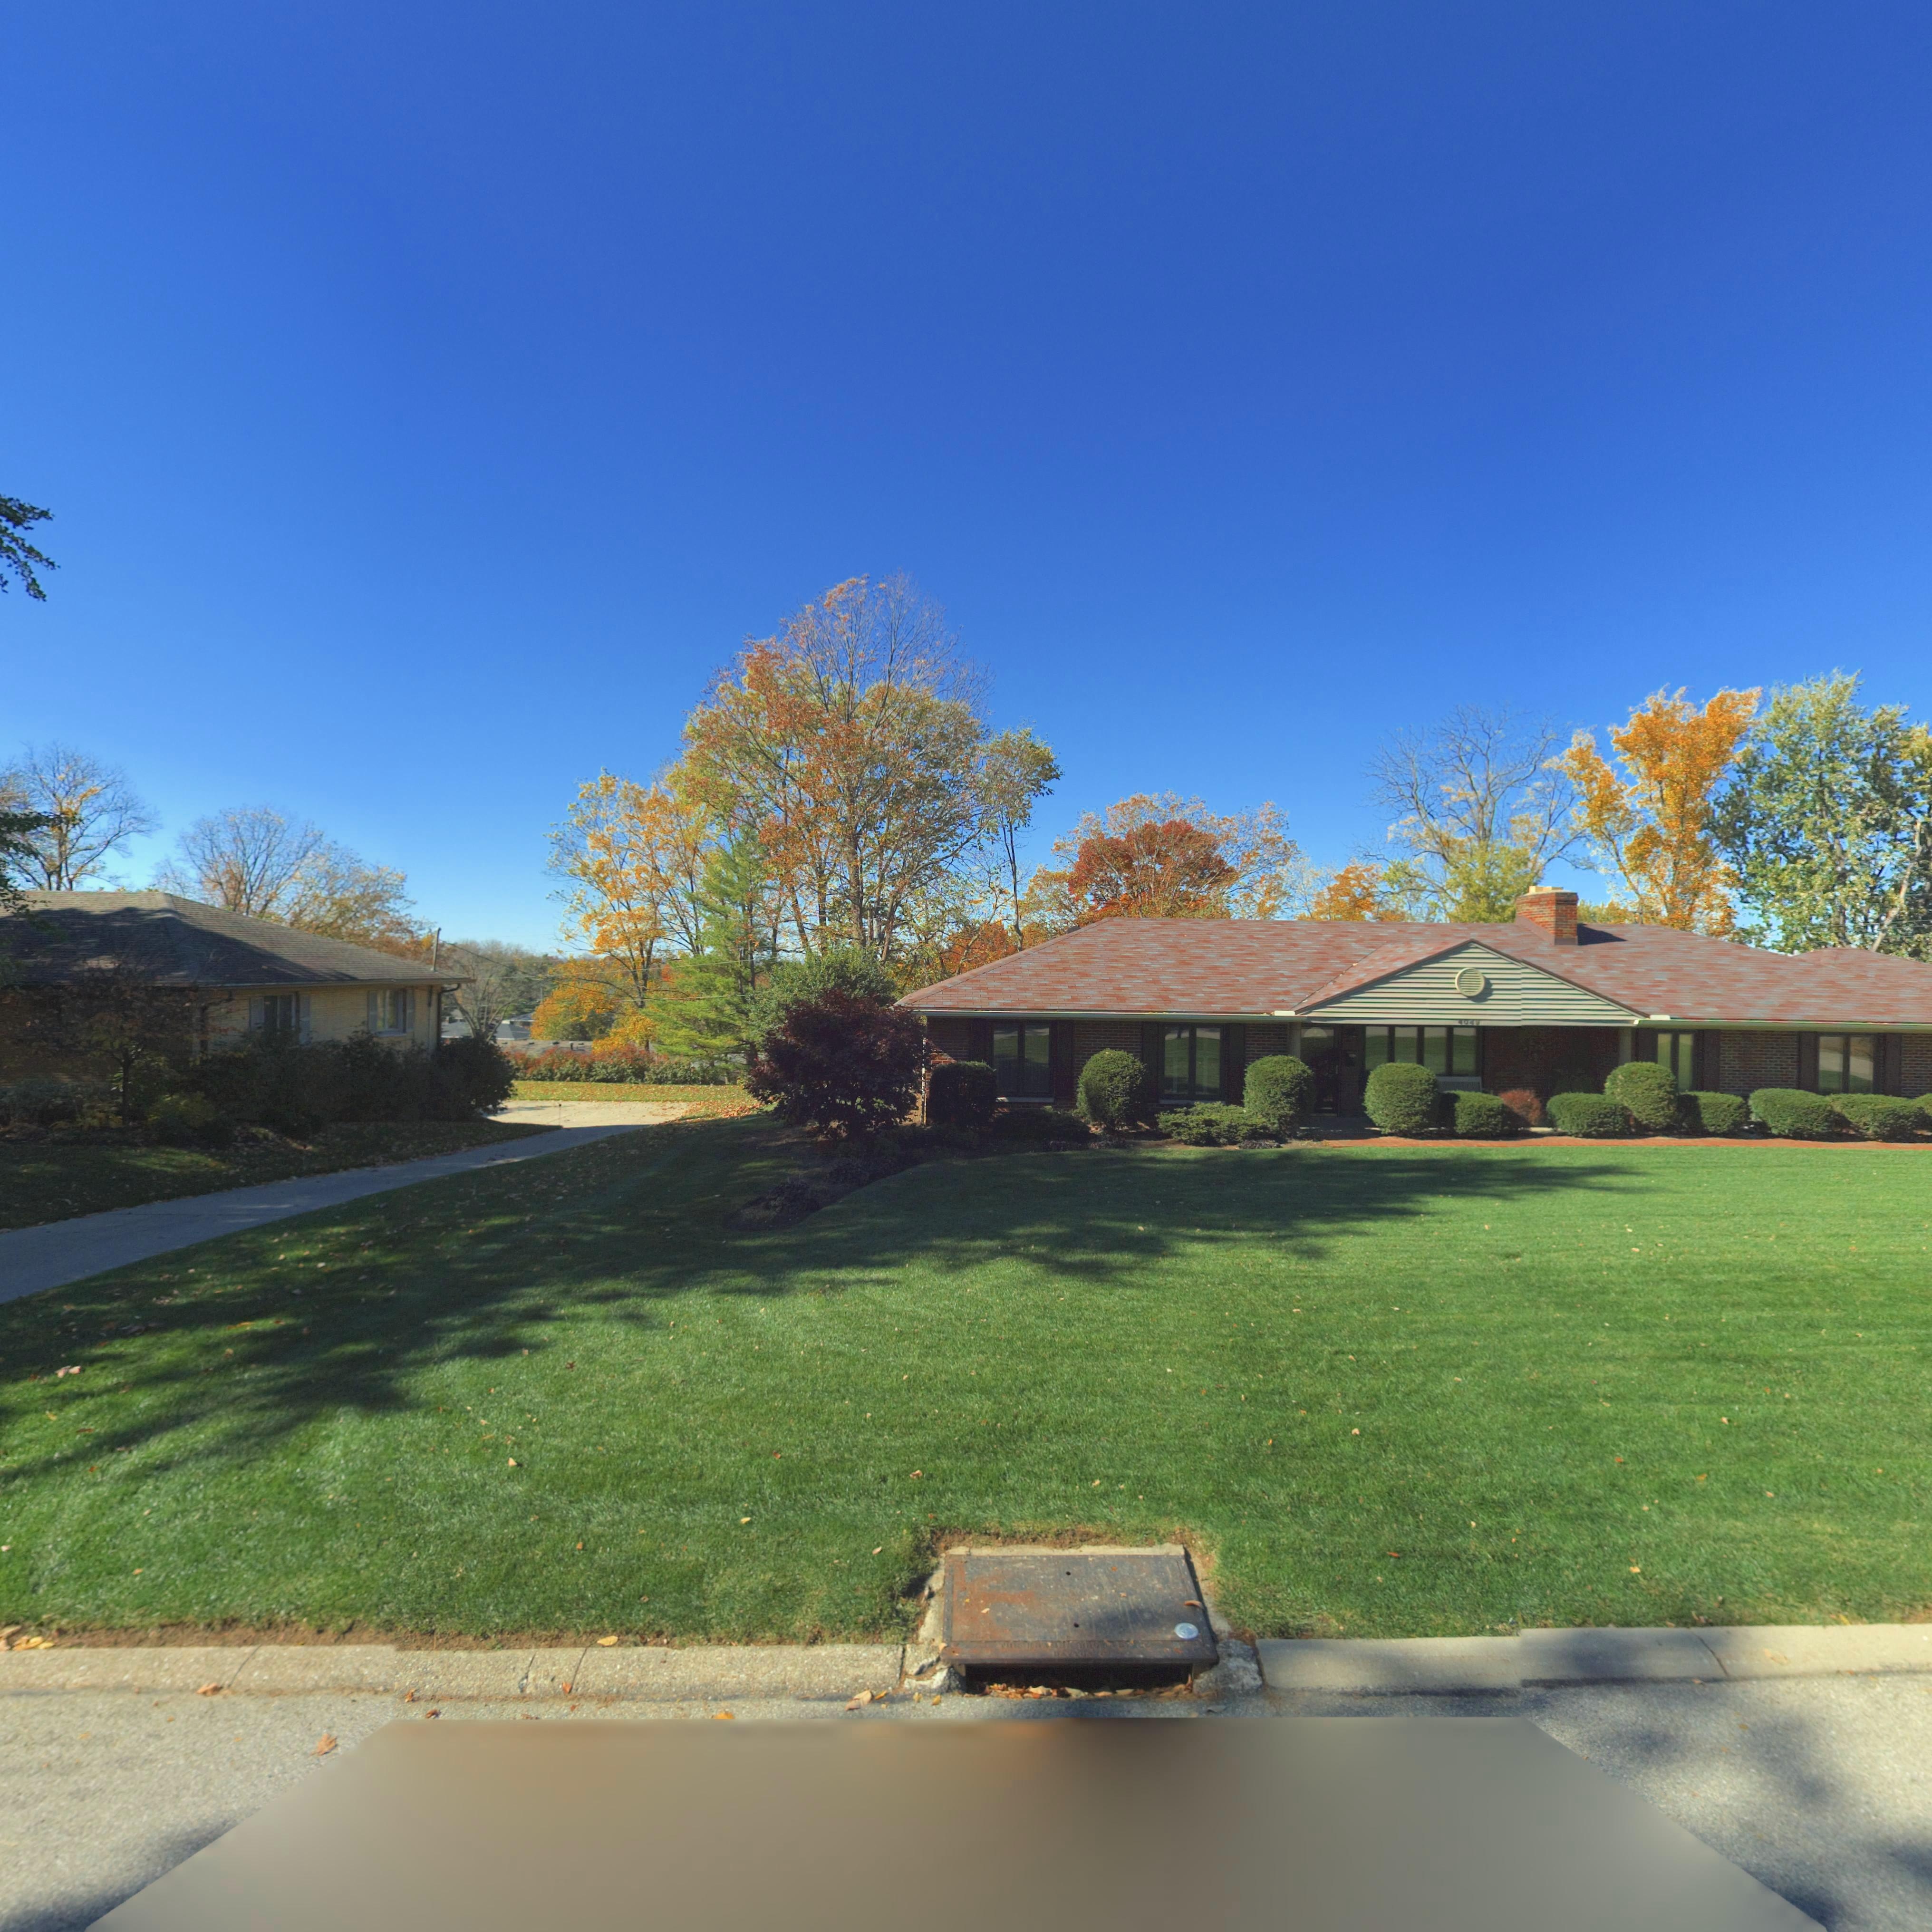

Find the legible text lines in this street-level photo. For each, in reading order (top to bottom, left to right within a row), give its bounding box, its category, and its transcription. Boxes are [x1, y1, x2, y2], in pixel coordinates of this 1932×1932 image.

[1457, 1019, 1482, 1026] StreetNumber: 404*